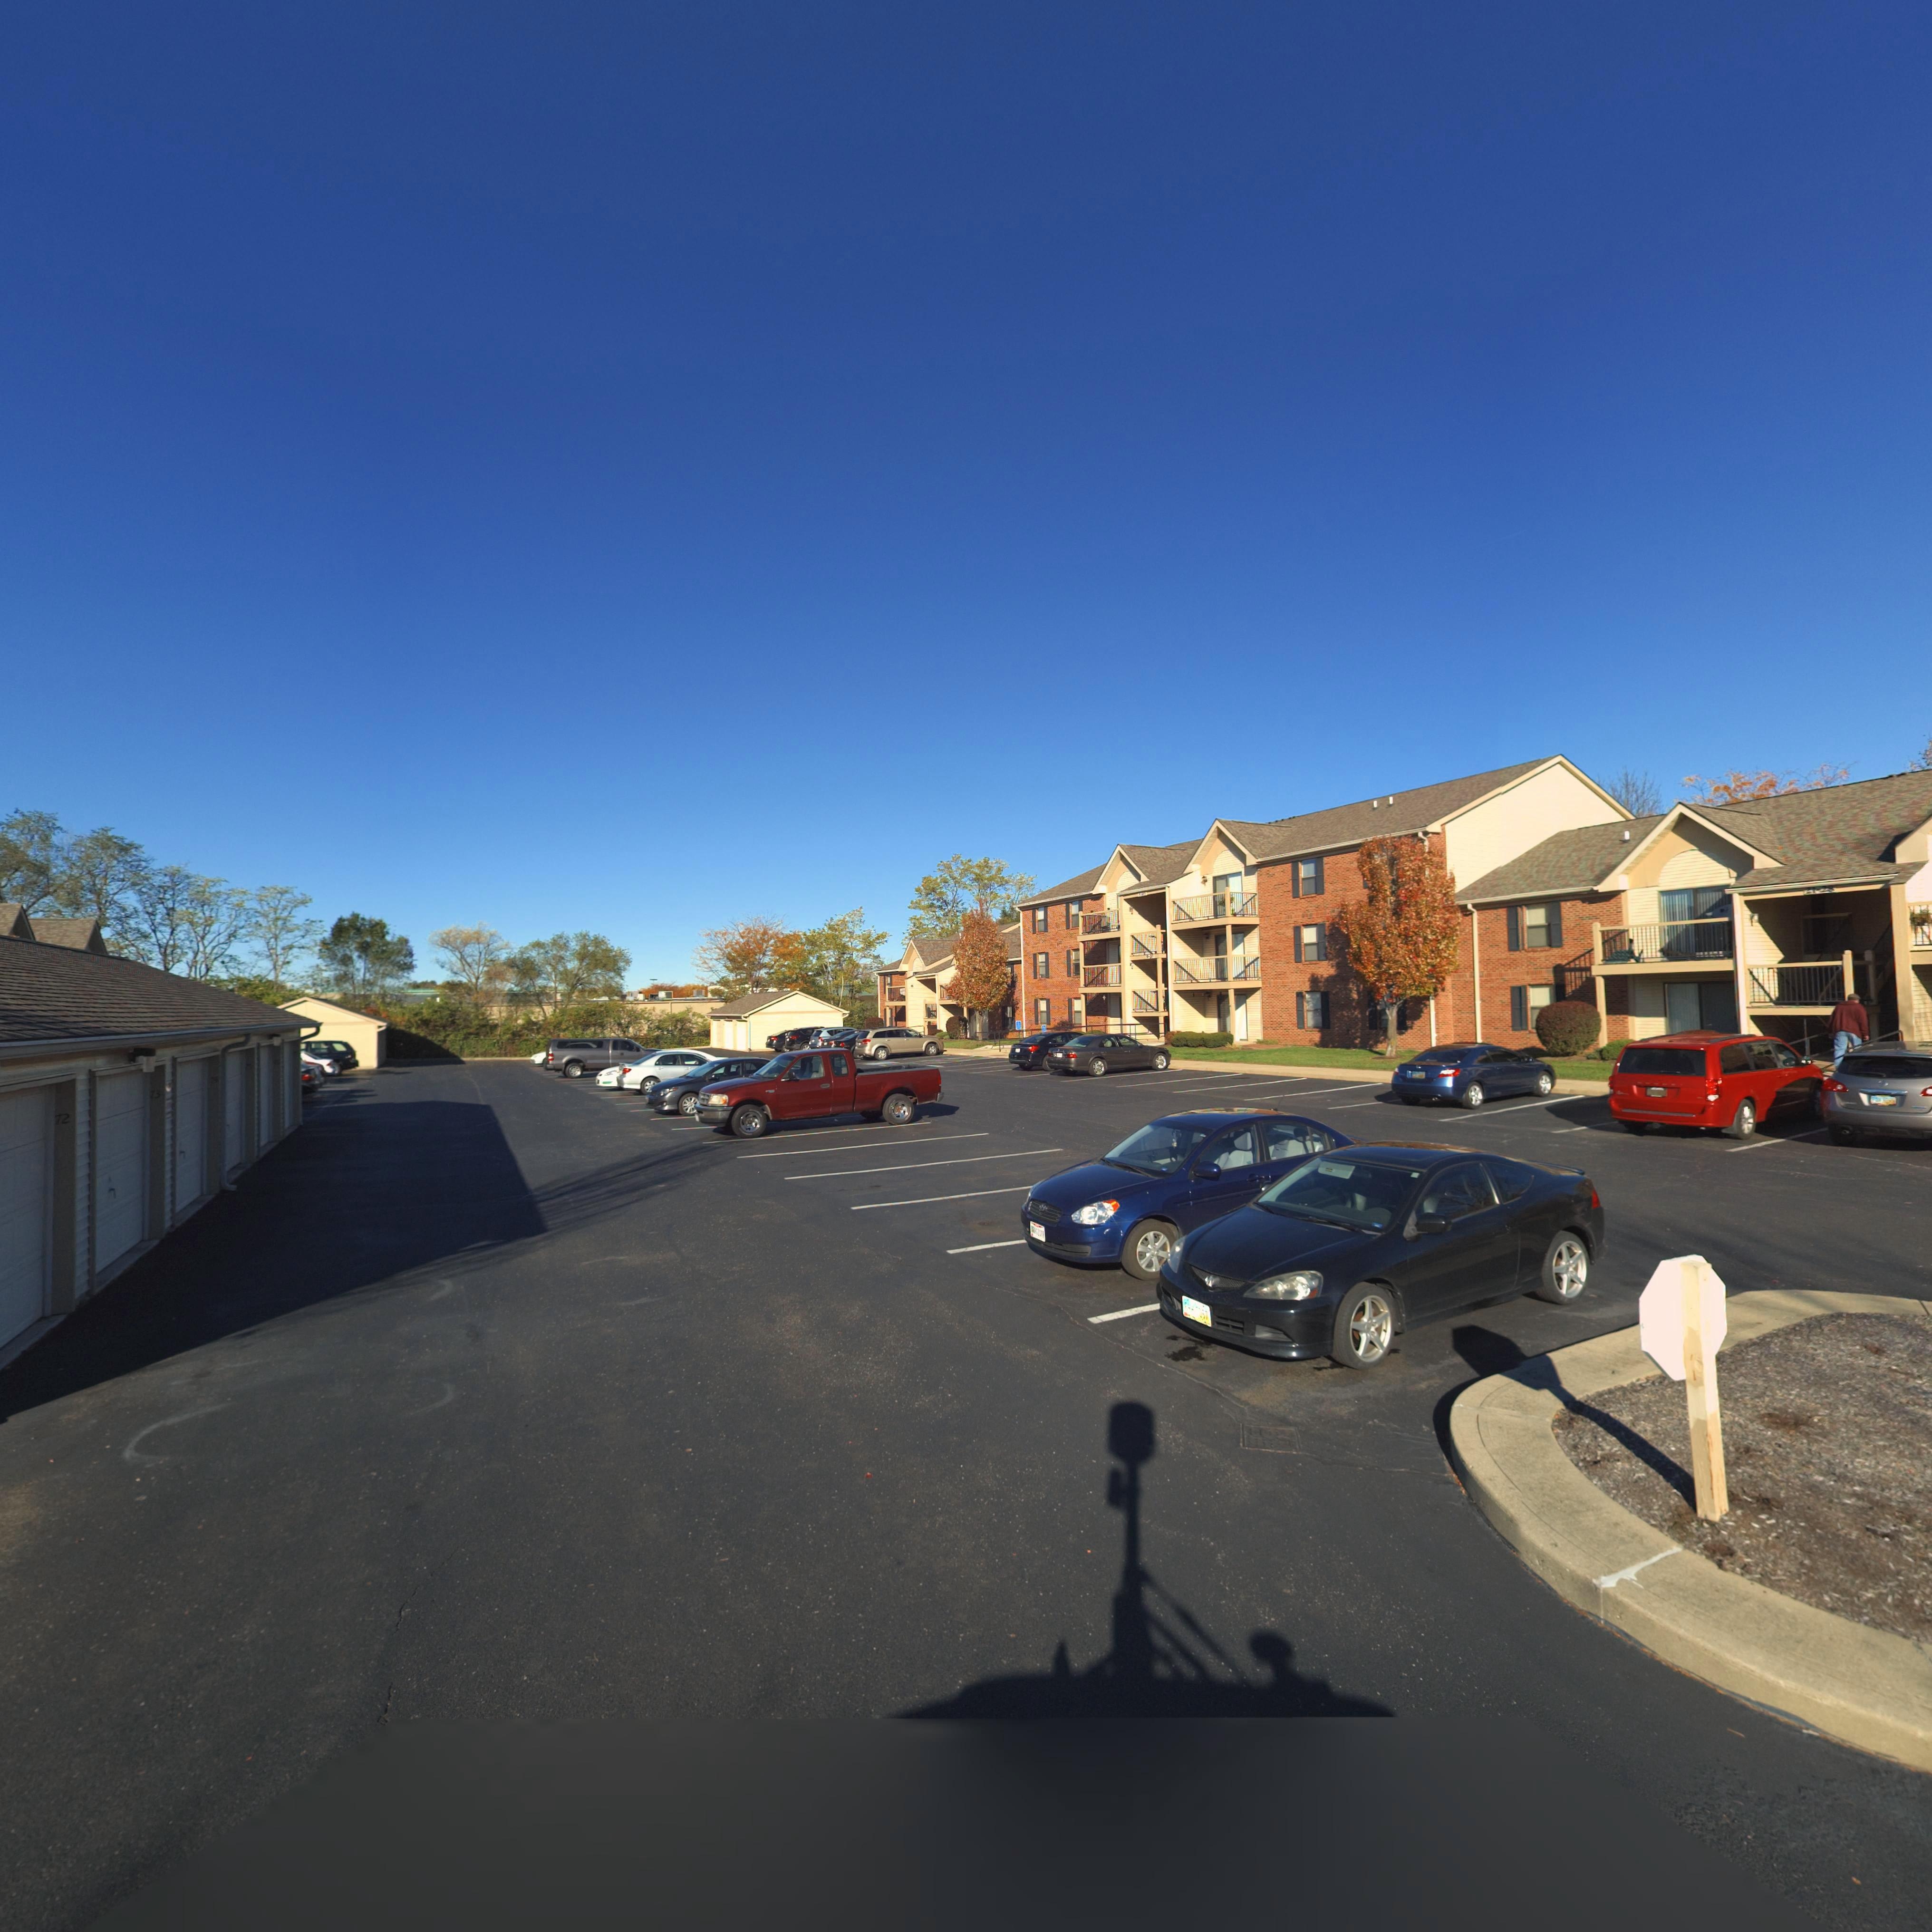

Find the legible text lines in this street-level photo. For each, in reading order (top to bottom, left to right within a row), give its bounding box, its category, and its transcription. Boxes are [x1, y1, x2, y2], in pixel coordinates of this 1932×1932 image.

[1805, 885, 1835, 895] StreetNumber: **-**